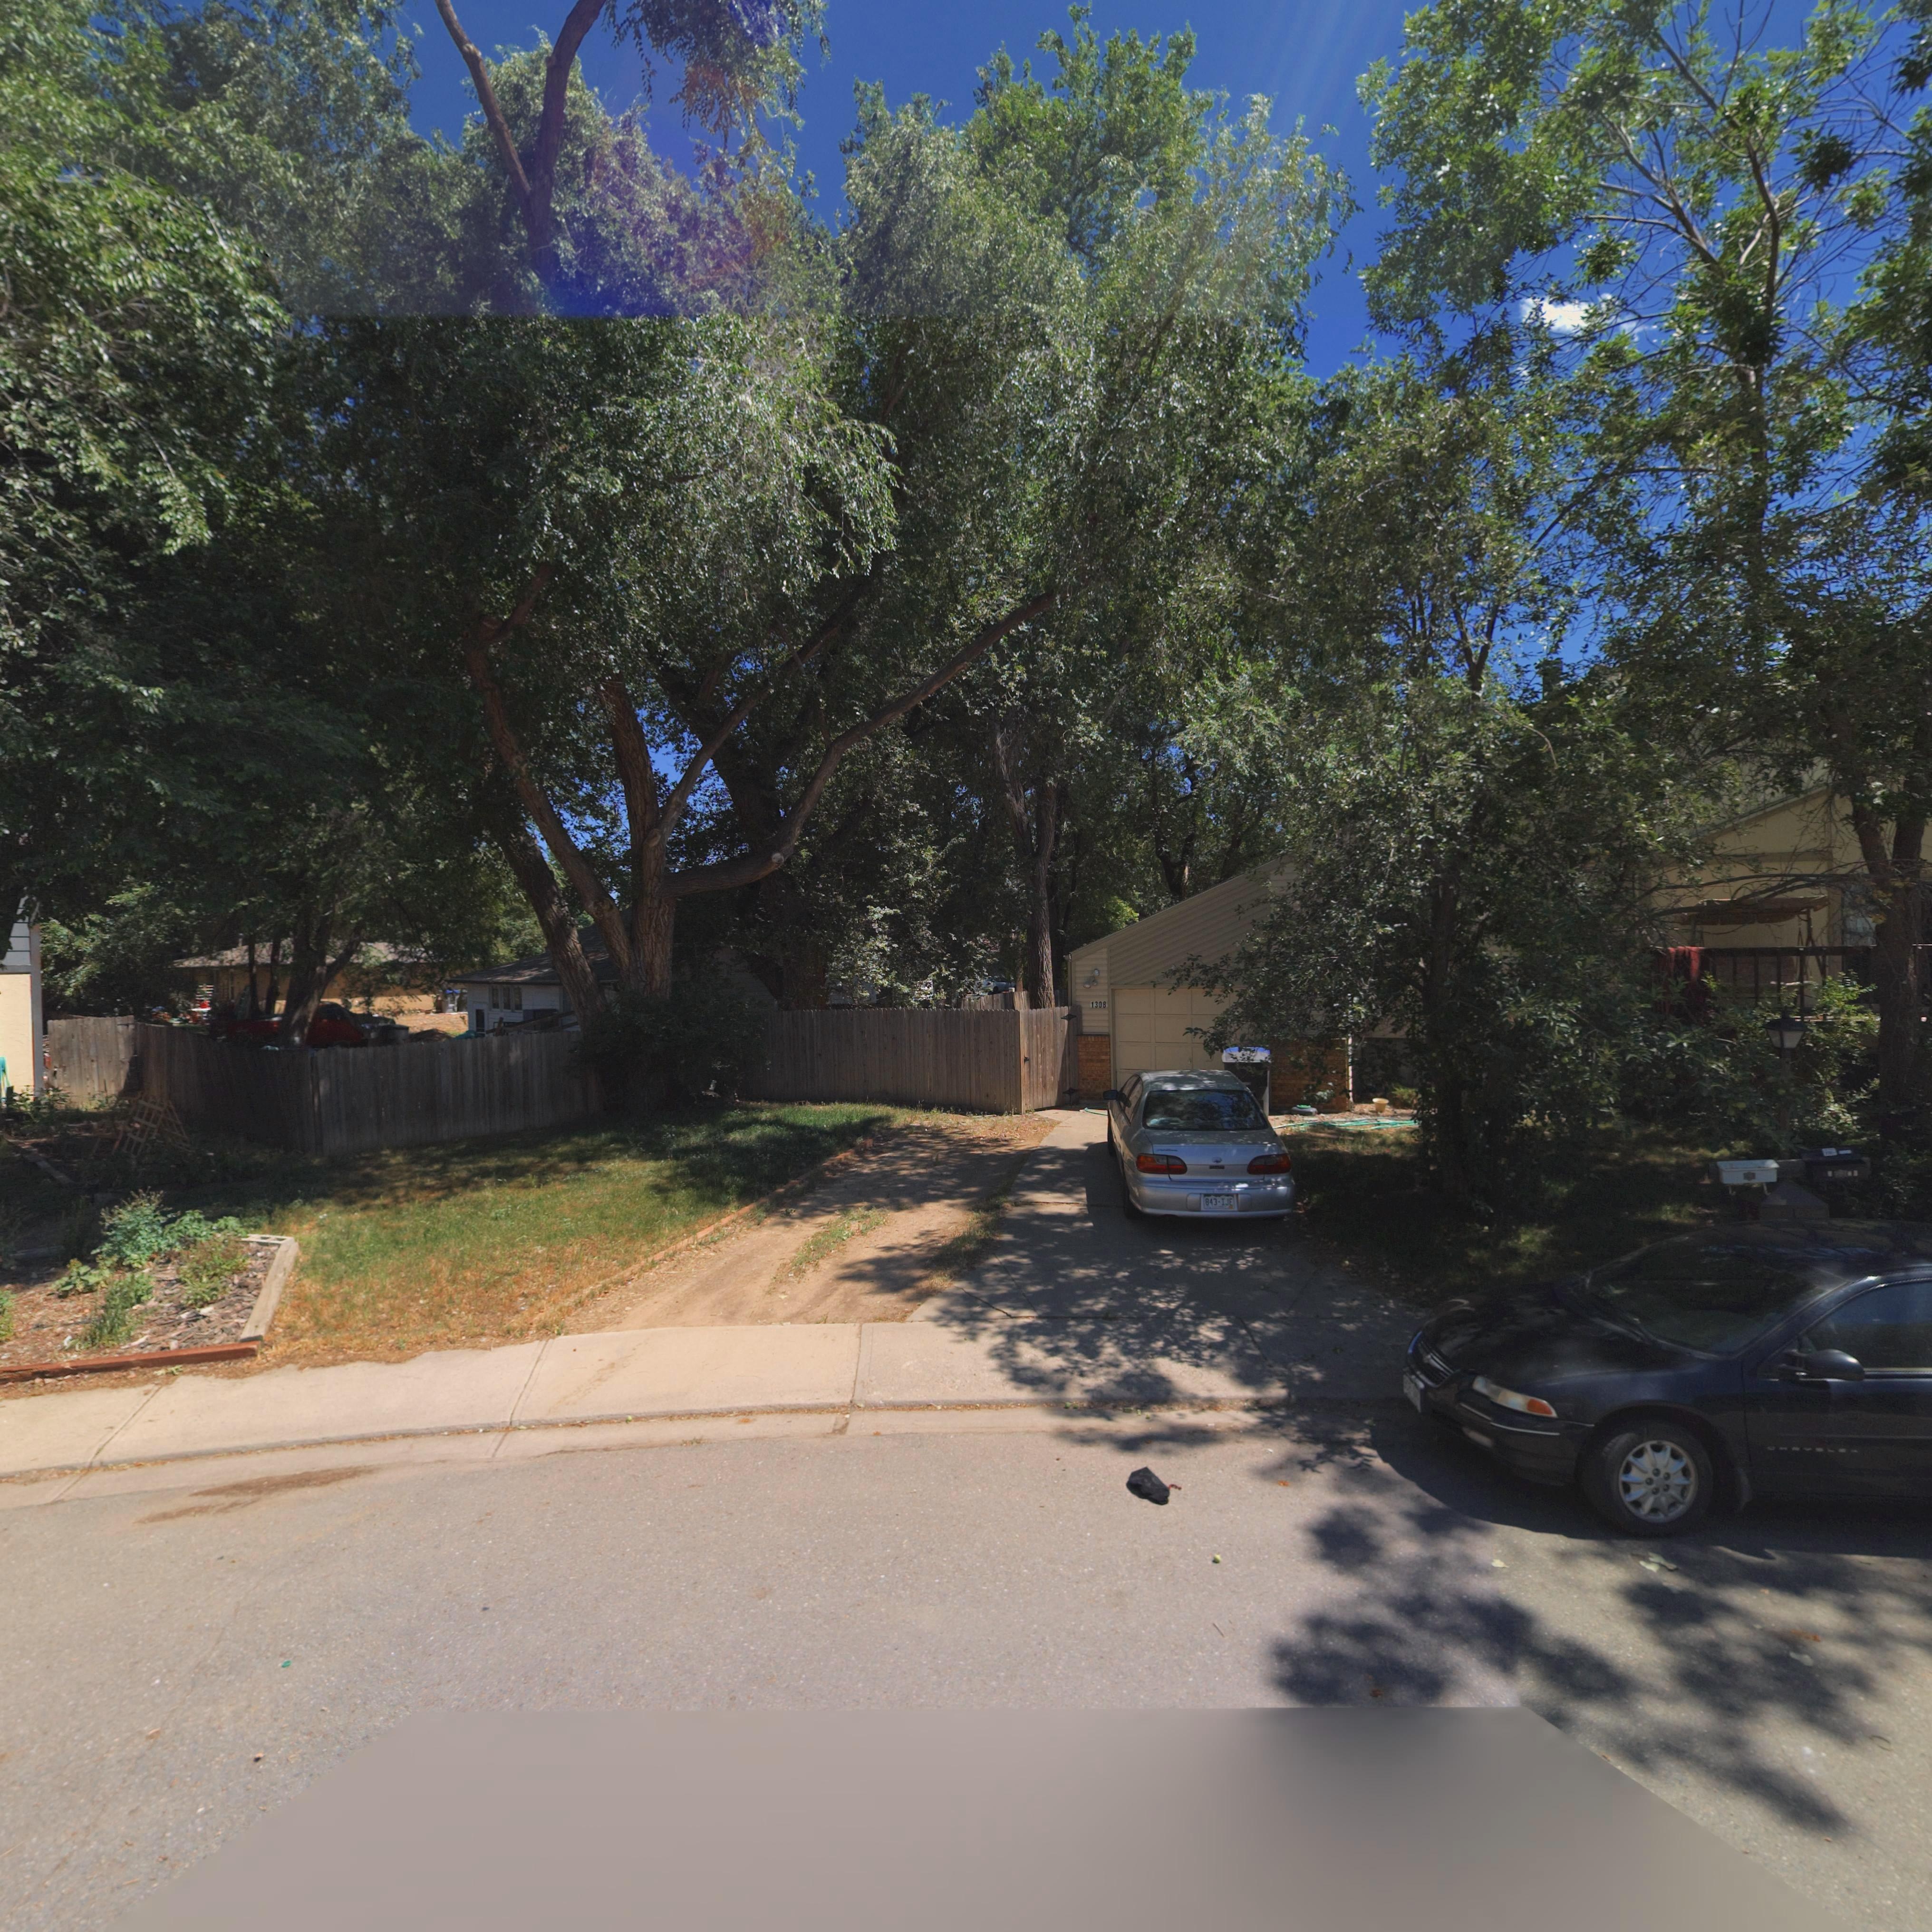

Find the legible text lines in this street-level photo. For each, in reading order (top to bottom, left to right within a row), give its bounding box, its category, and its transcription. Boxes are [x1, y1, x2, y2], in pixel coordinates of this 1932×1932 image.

[1091, 1001, 1106, 1008] StreetNumber: 1308